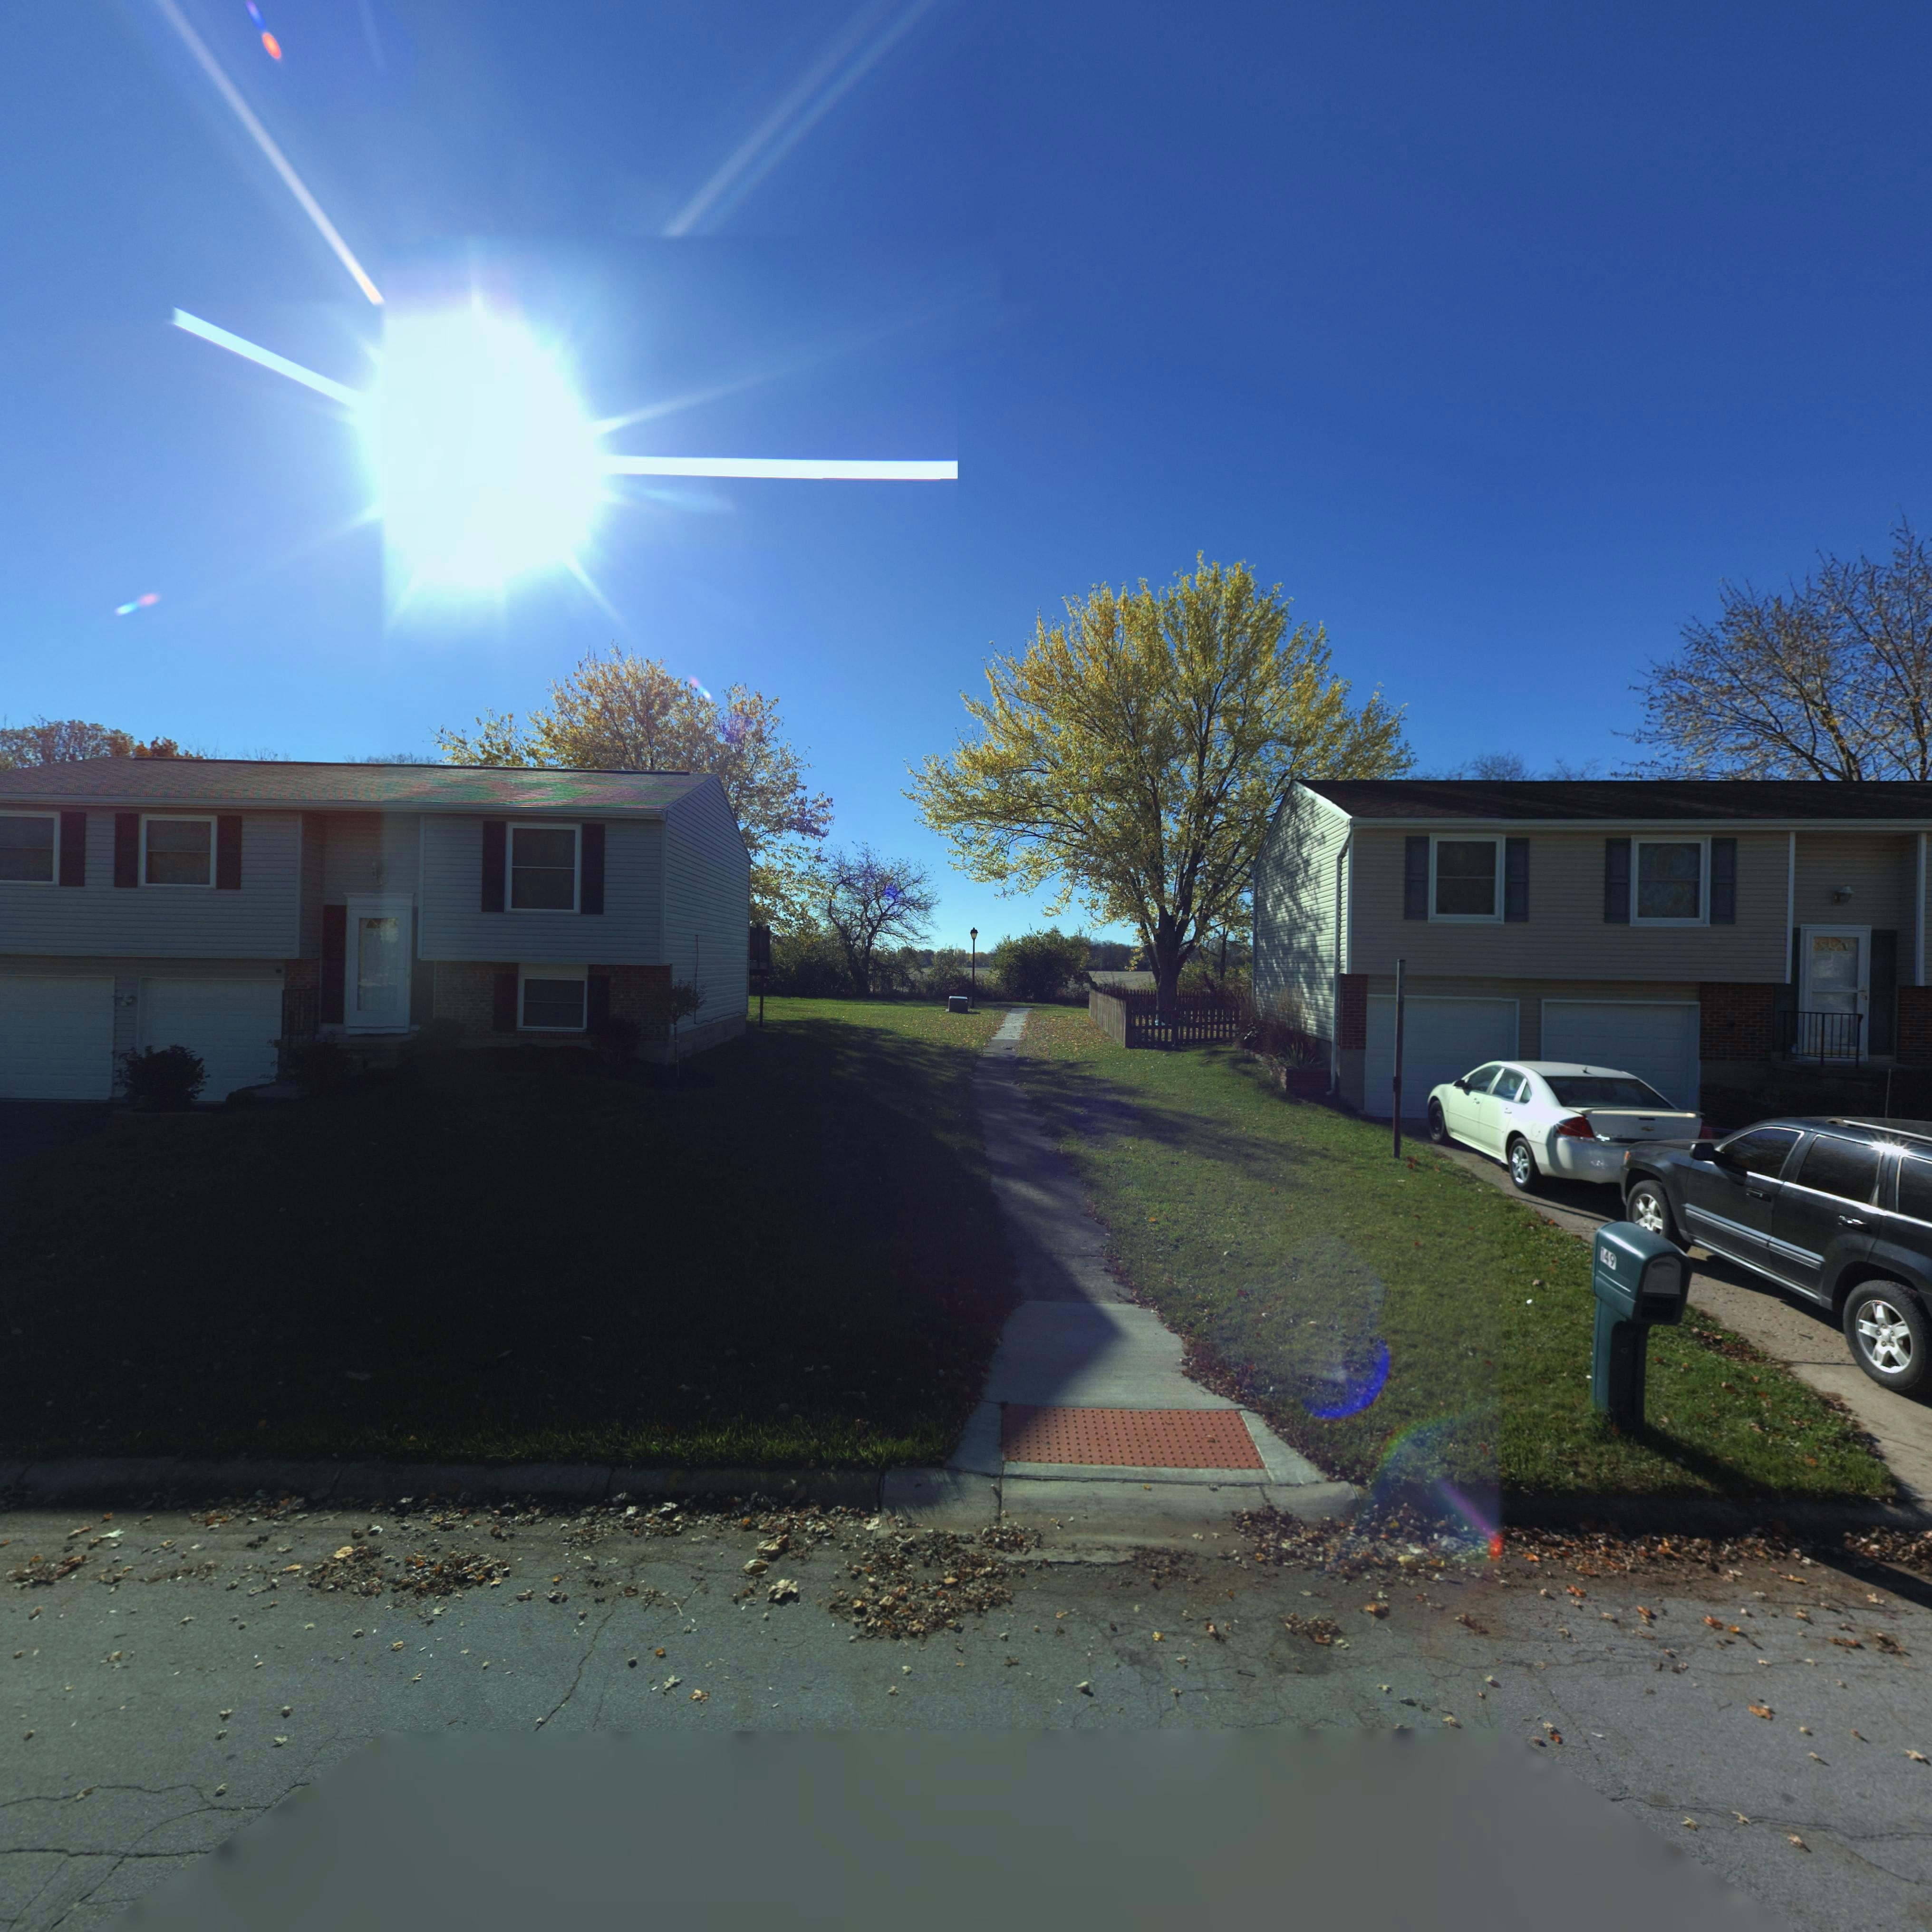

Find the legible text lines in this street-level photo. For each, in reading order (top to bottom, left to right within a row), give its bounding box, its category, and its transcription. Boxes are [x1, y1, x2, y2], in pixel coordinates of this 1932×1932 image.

[1601, 1246, 1617, 1268] StreetNumber: 149